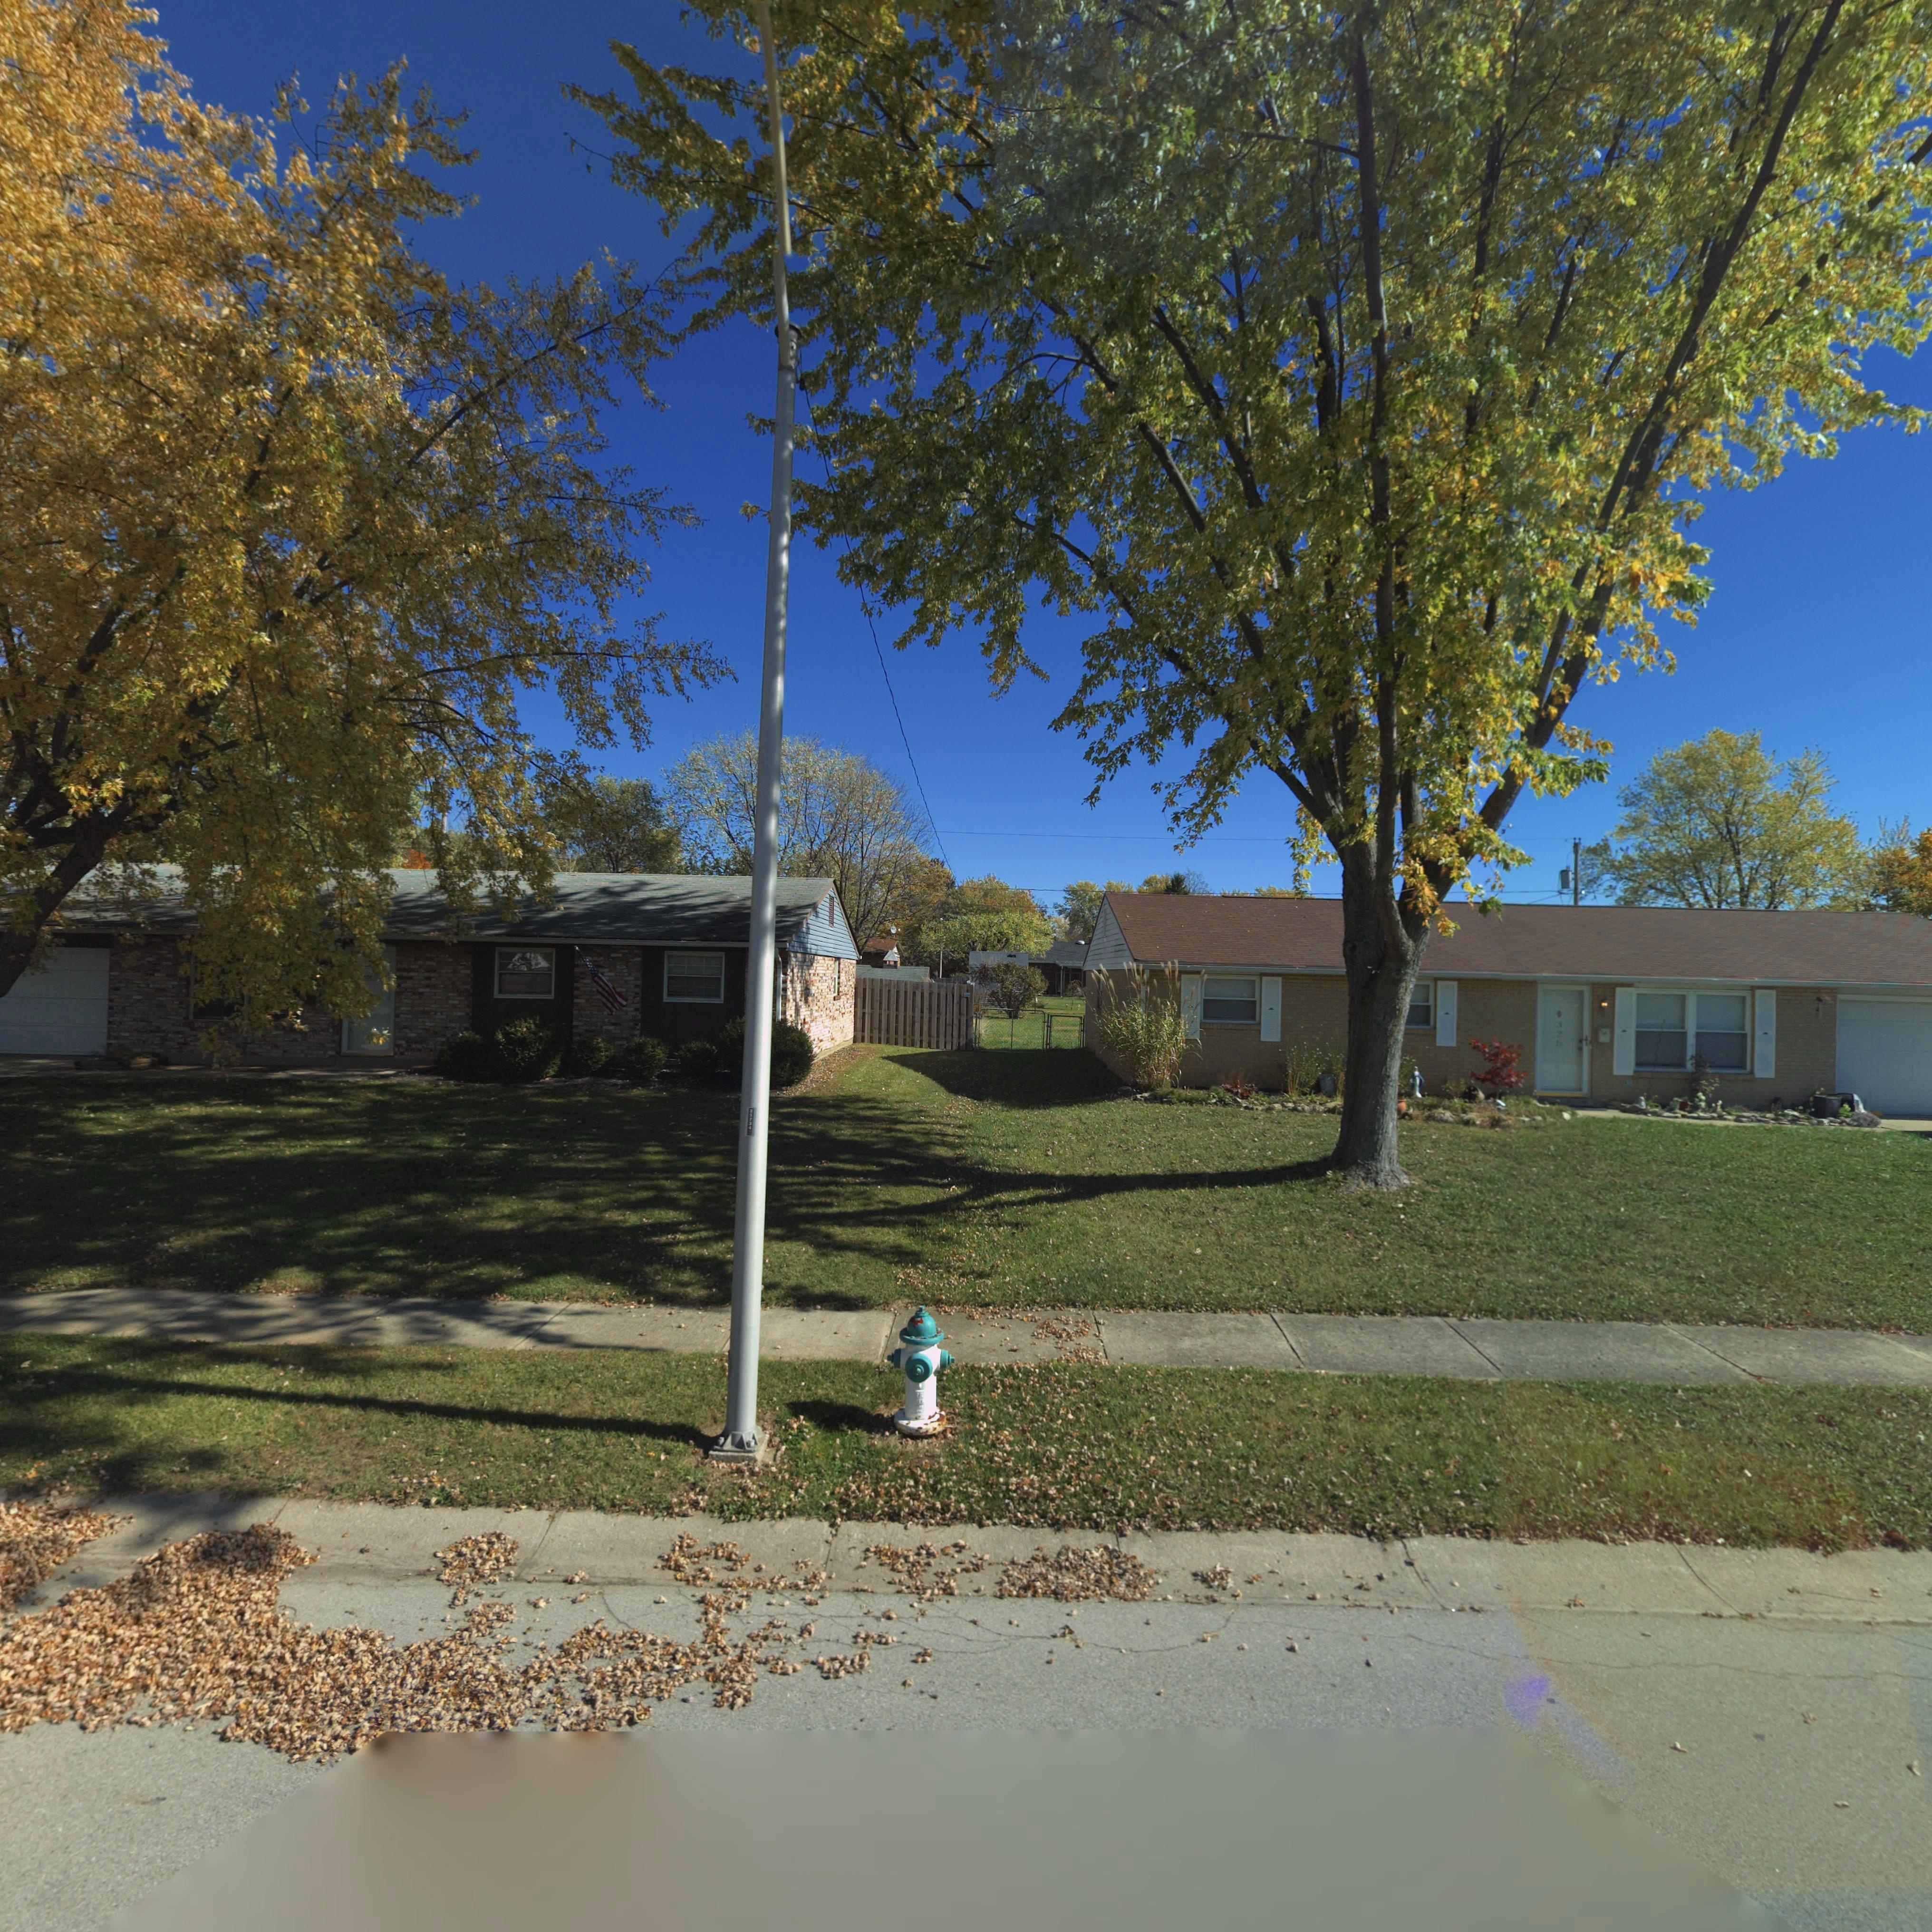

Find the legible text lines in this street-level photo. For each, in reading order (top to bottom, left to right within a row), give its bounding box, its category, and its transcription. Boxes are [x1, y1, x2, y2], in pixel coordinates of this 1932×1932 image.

[1555, 1019, 1563, 1049] StreetNumber: 325